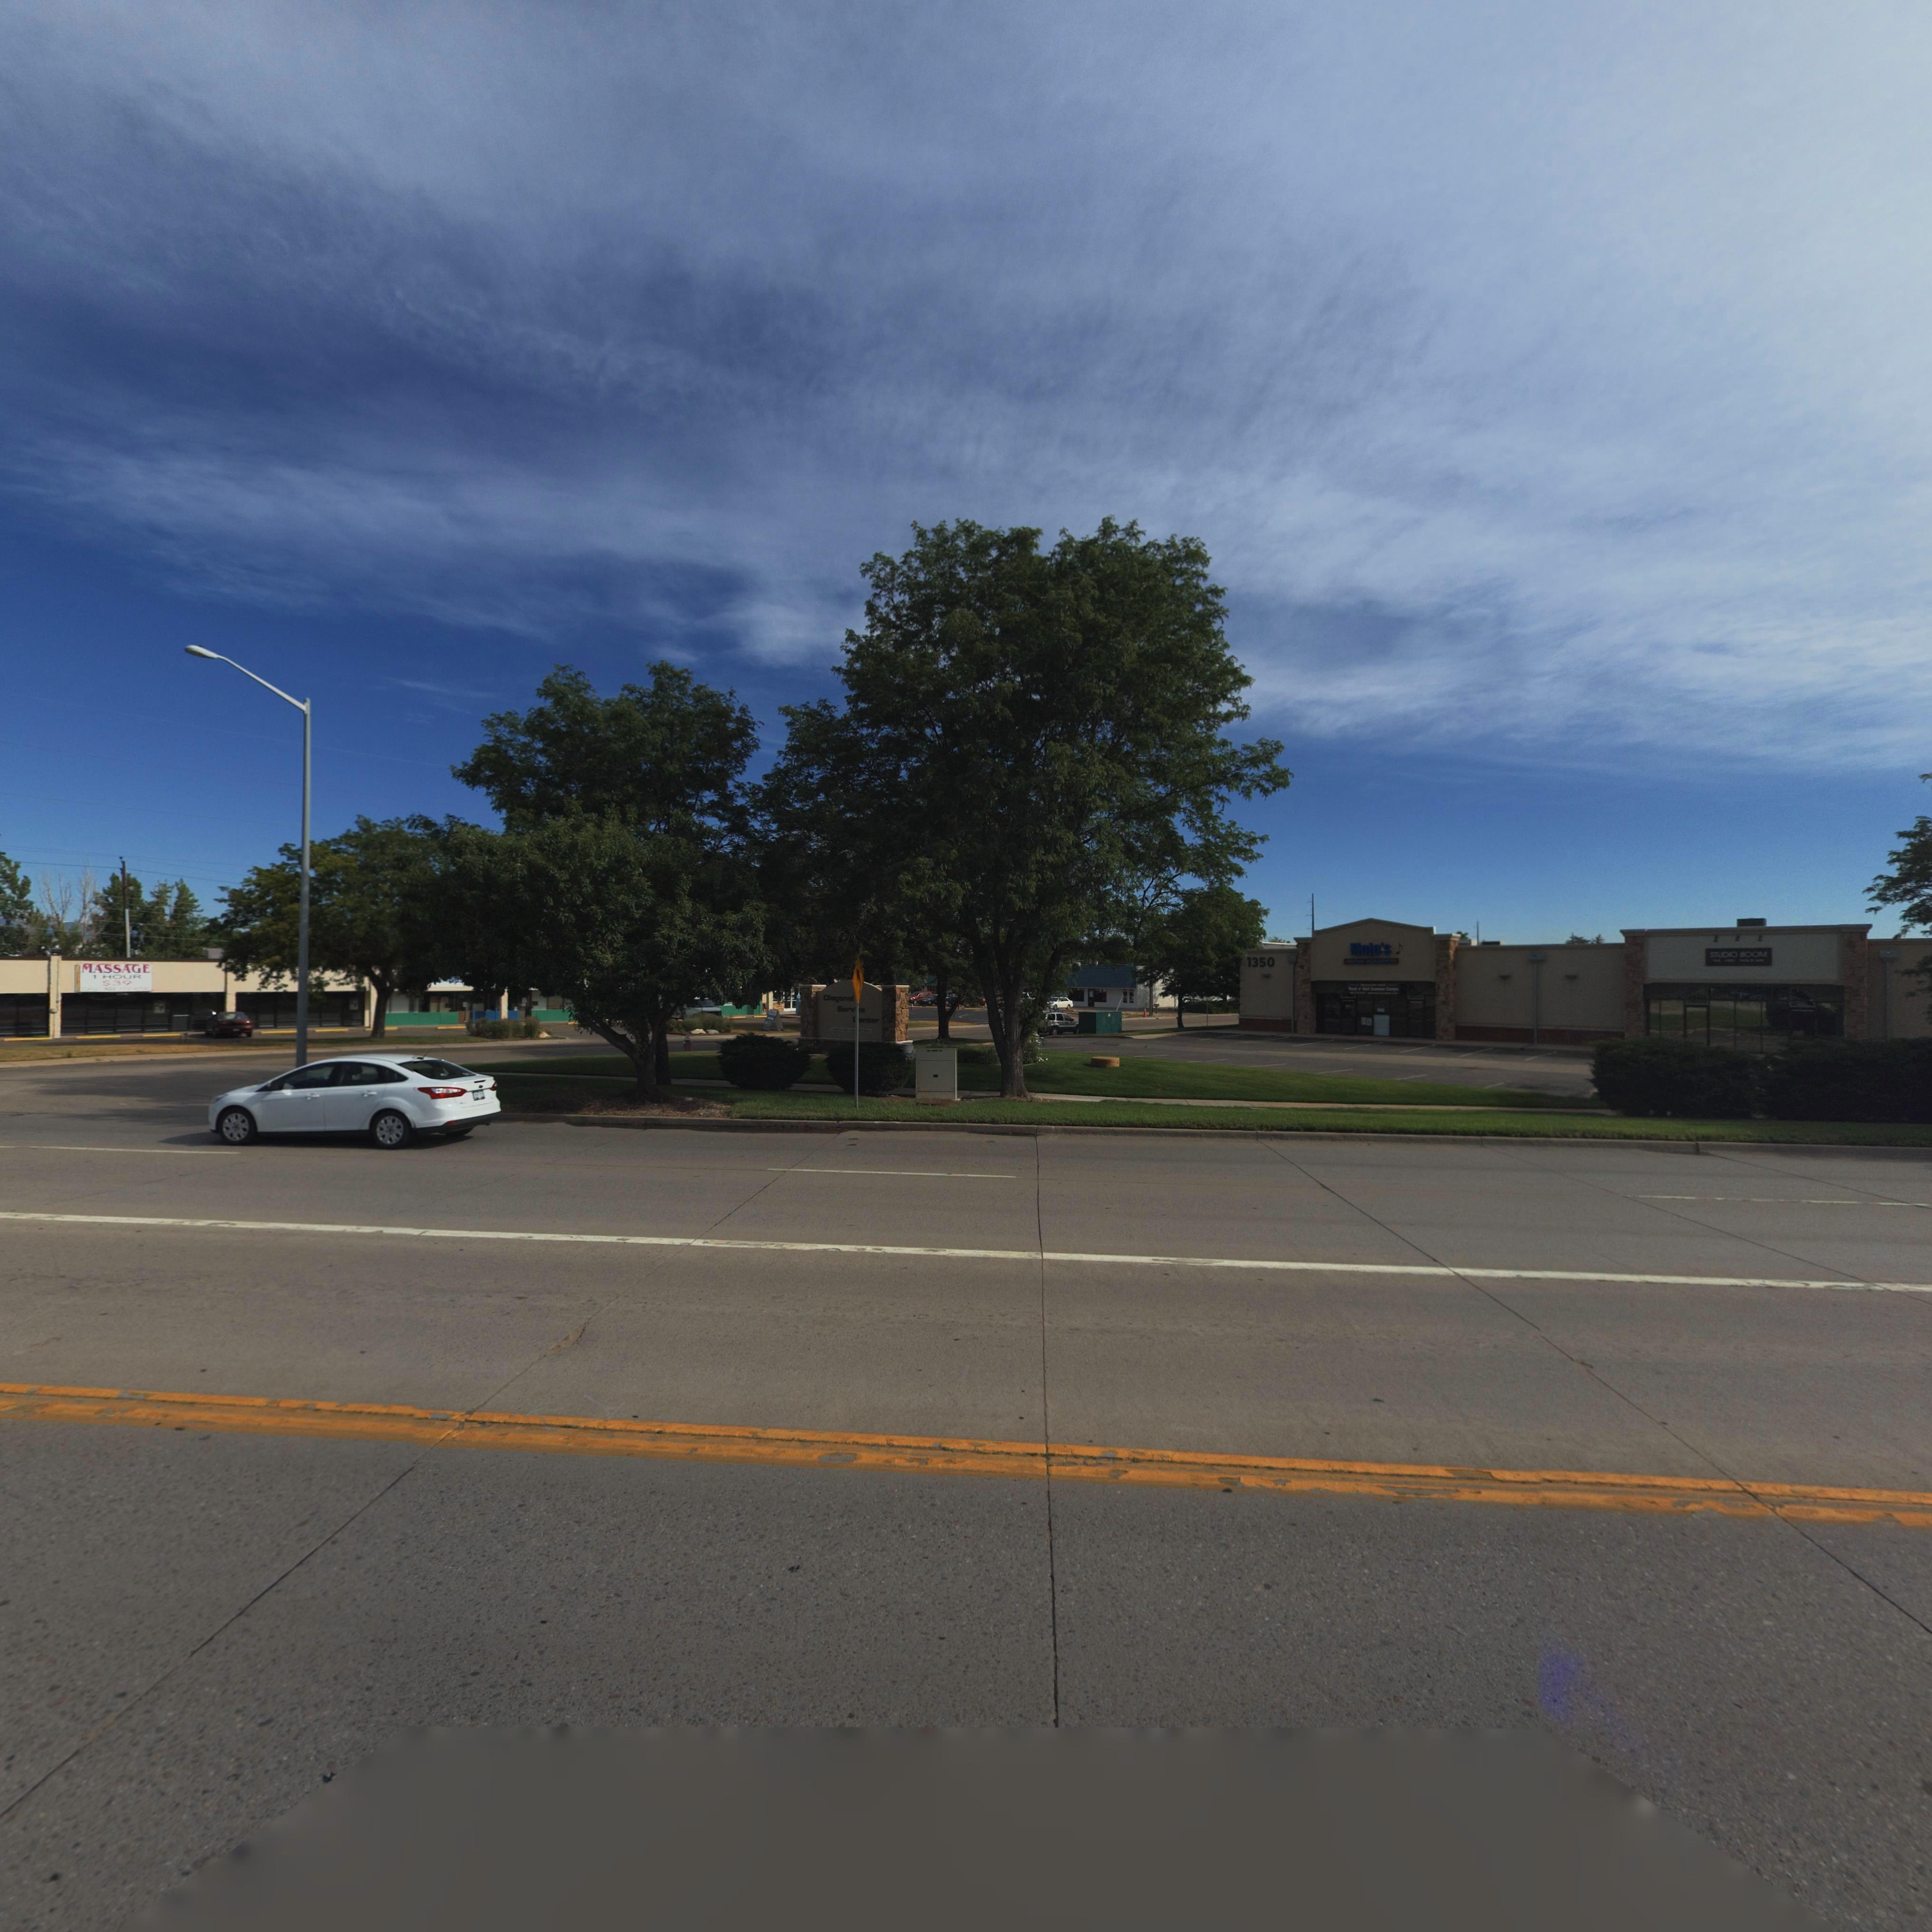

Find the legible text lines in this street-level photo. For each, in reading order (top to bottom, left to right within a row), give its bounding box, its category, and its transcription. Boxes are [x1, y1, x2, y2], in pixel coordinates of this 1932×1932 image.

[1350, 942, 1391, 956] BusinessName: Mojo's
[1710, 951, 1767, 957] BusinessName: STUDIO BOOM
[1246, 956, 1275, 967] StreetNumber: 1350
[1366, 959, 1394, 963] BusinessName: ACADEMY
[82, 964, 150, 973] BusinessName: MASSAG